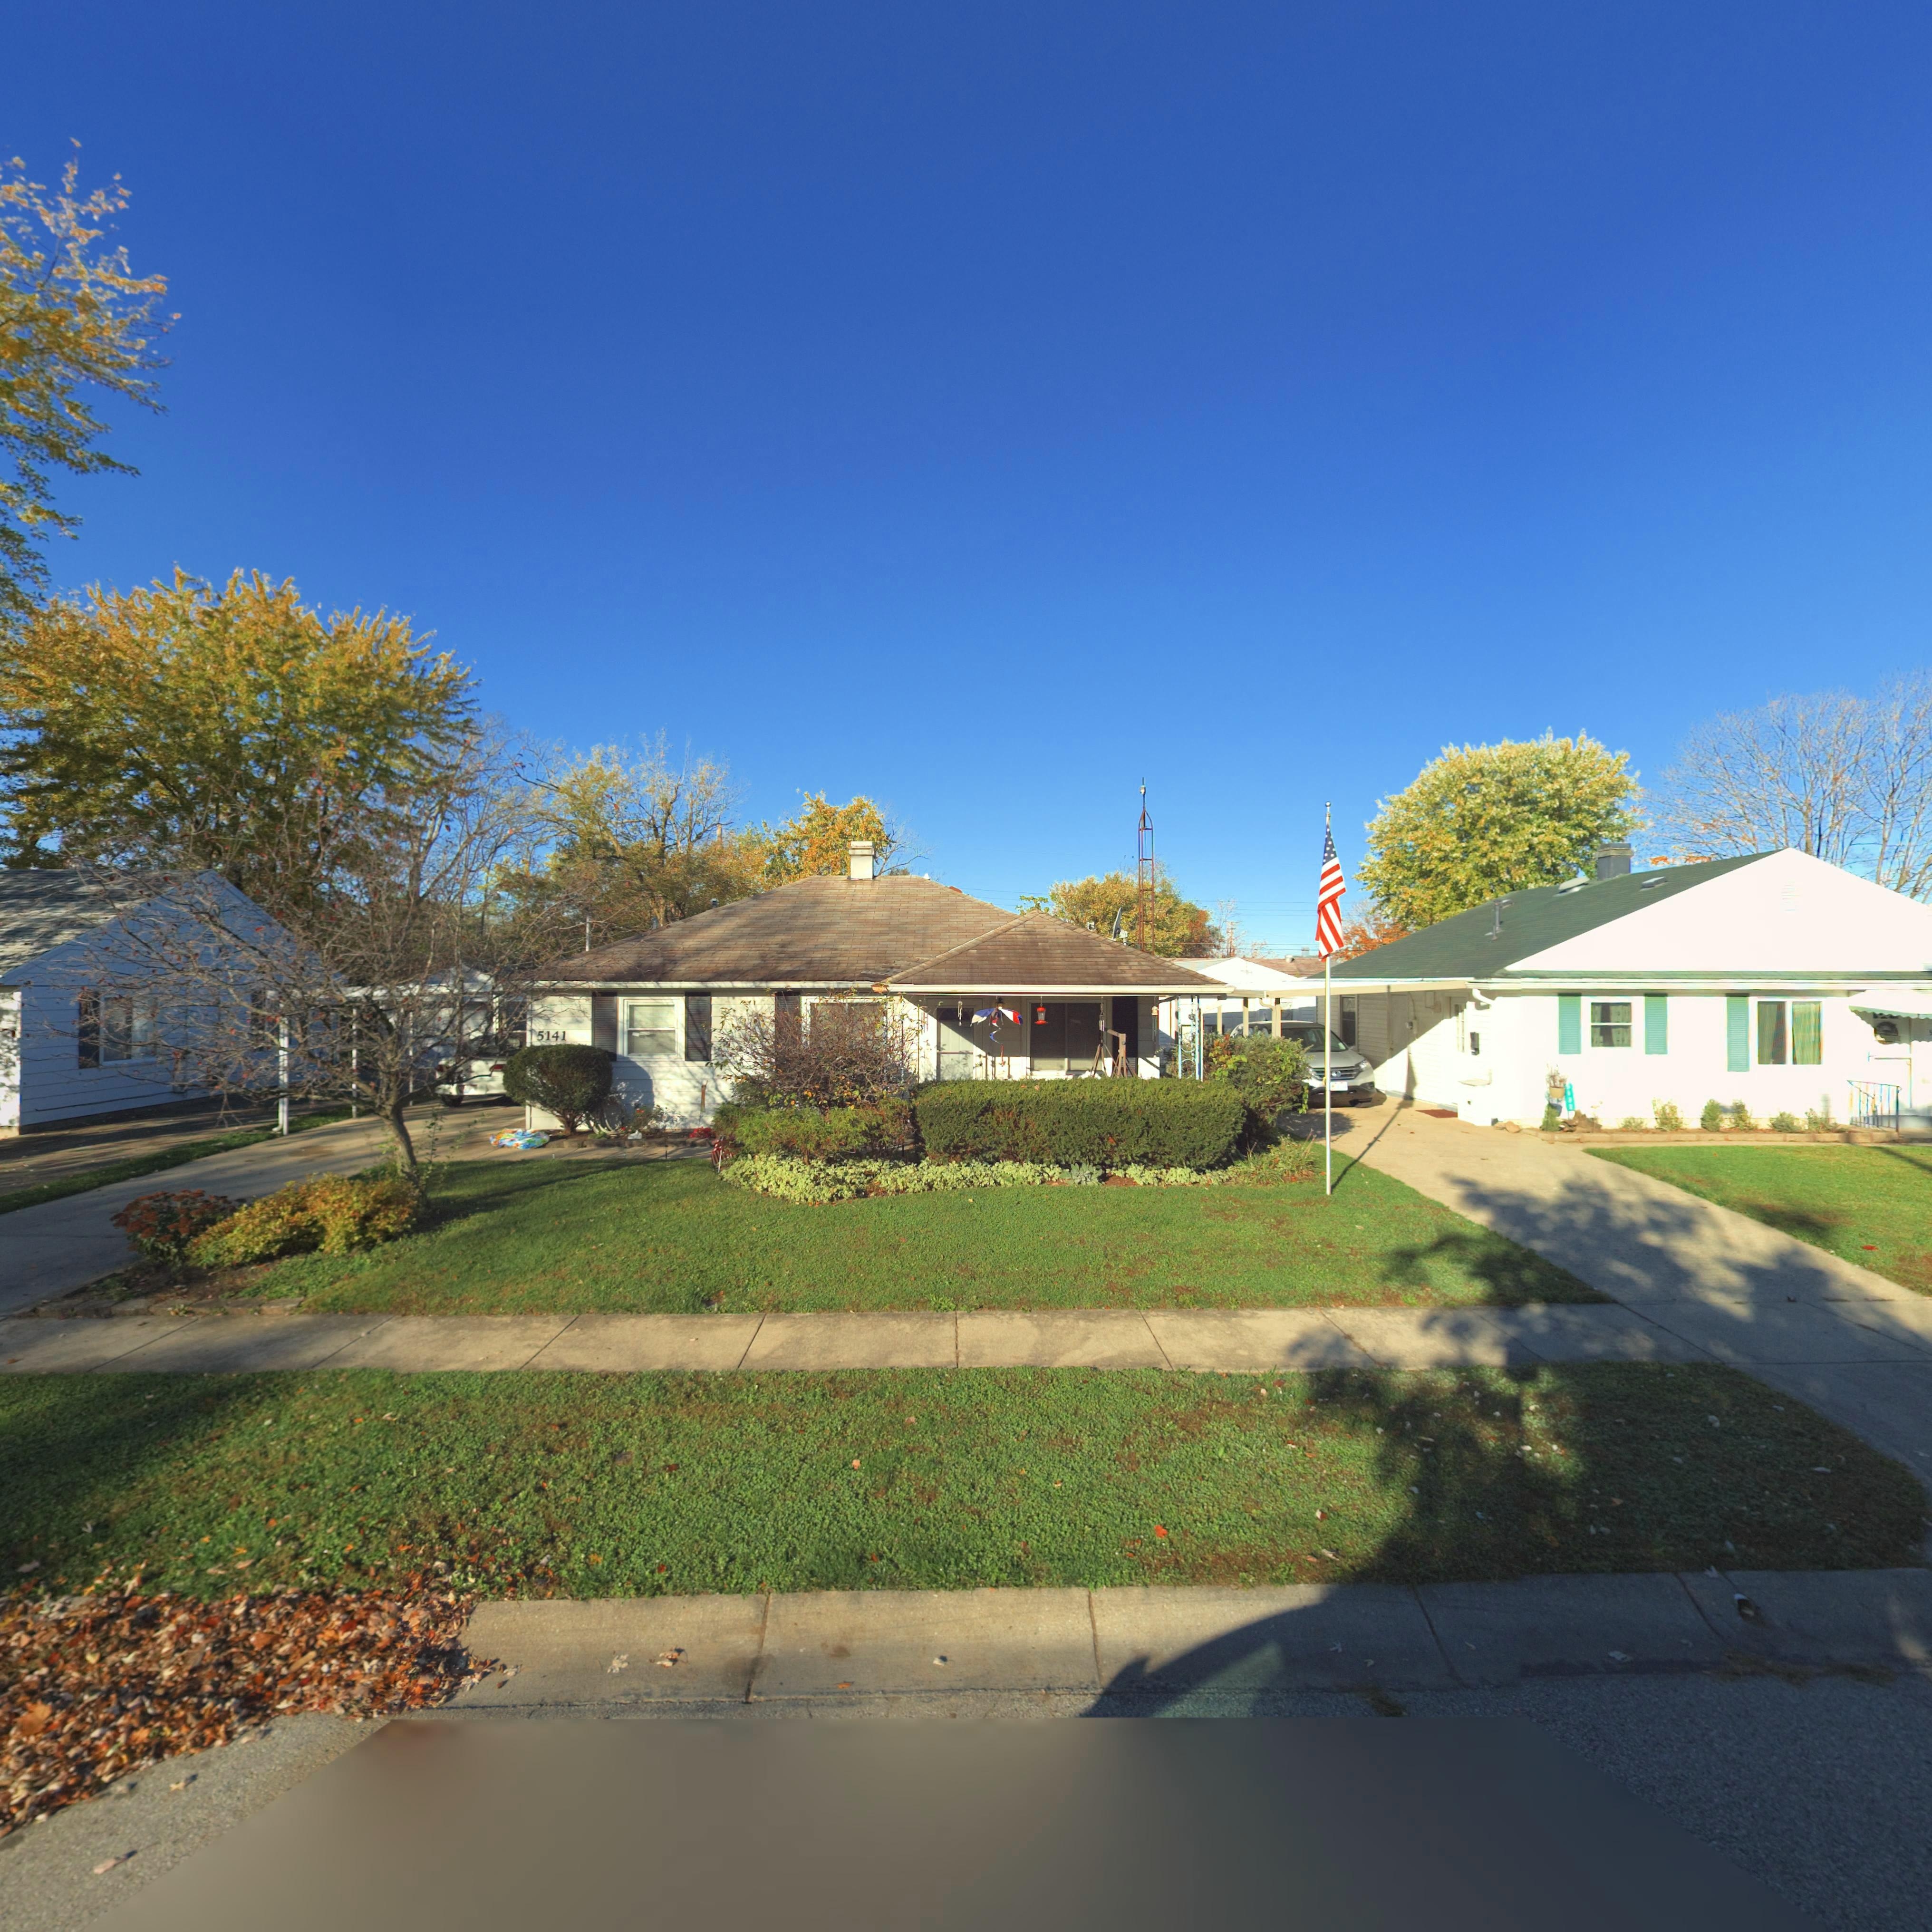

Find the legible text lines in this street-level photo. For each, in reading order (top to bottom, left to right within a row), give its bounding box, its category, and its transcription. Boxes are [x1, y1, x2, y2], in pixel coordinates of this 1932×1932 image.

[536, 1030, 567, 1041] StreetNumber: 5141
[1565, 1082, 1573, 1111] StreetNumber: 5*37